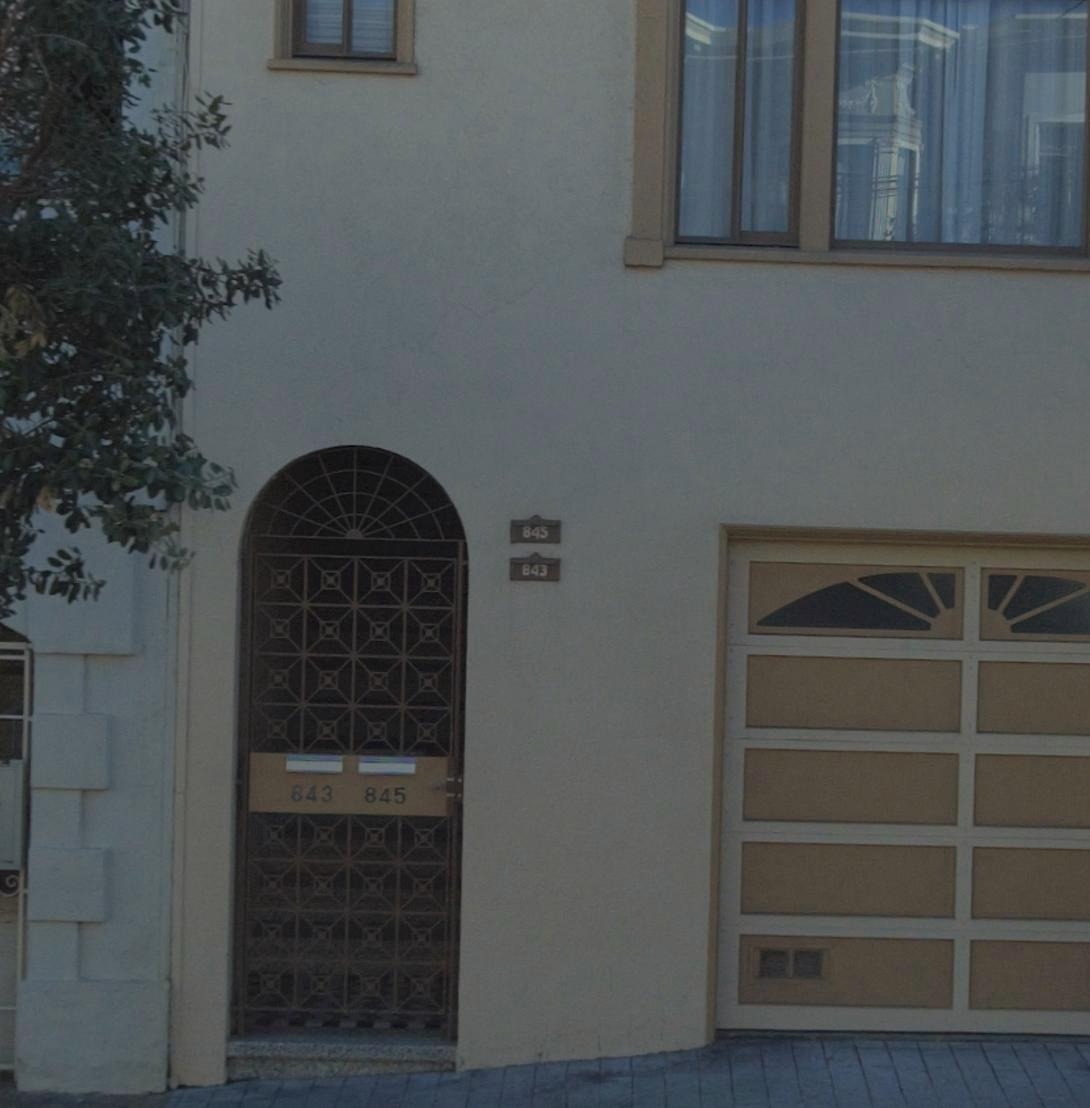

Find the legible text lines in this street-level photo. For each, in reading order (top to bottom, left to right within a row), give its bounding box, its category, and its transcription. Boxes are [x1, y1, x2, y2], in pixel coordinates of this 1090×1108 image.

[521, 525, 550, 540] StreetNumber: 845
[521, 563, 548, 578] StreetNumber: 843
[290, 783, 335, 804] StreetNumber: 843
[363, 785, 408, 805] StreetNumber: 845